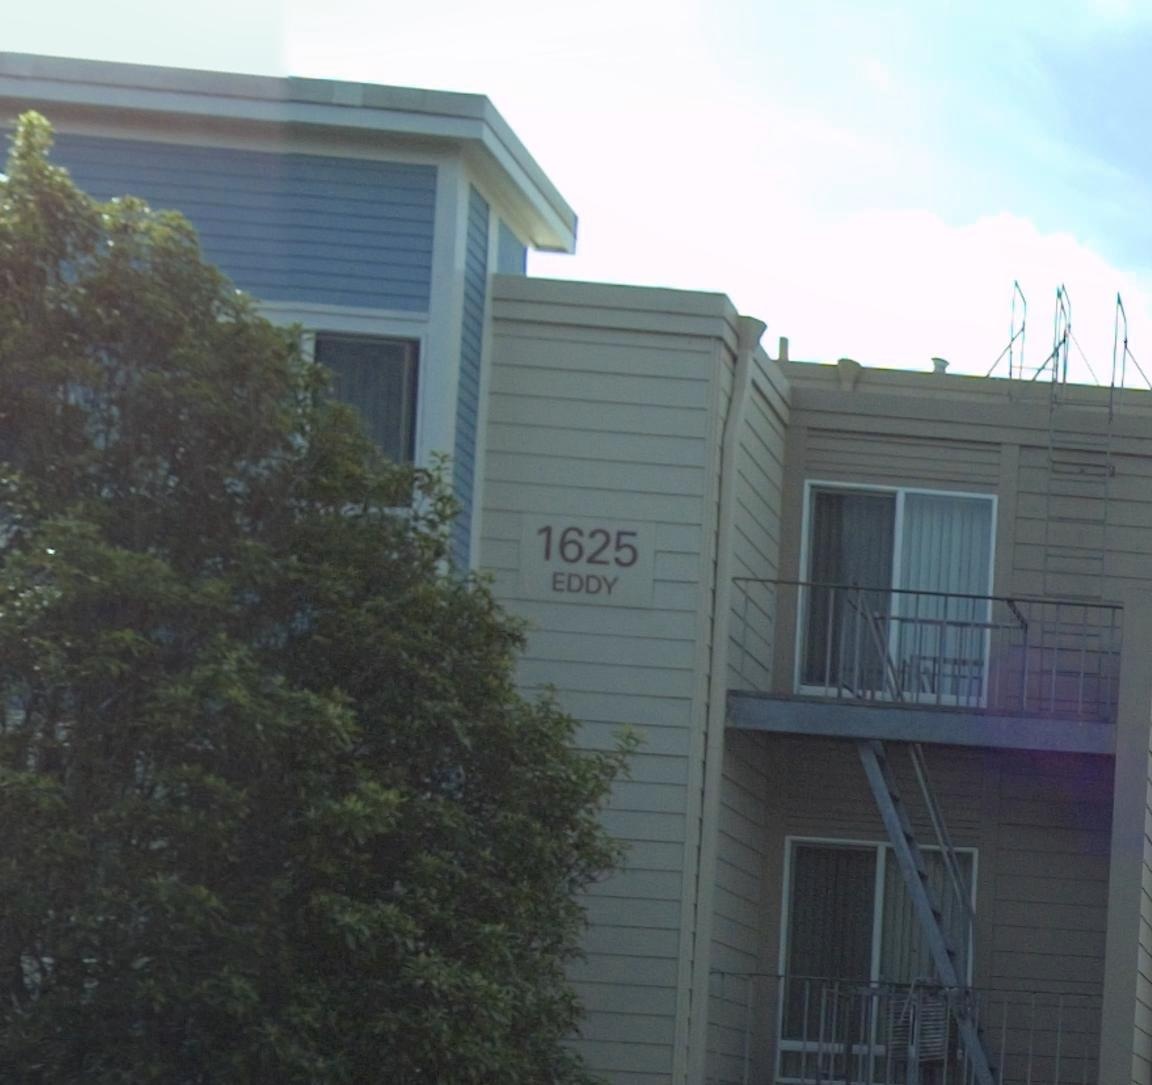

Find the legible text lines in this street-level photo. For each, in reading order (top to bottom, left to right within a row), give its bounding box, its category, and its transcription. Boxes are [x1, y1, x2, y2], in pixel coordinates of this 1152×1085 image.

[532, 521, 642, 570] StreetNumber: 1625
[549, 569, 623, 599] StreetName: EDDY